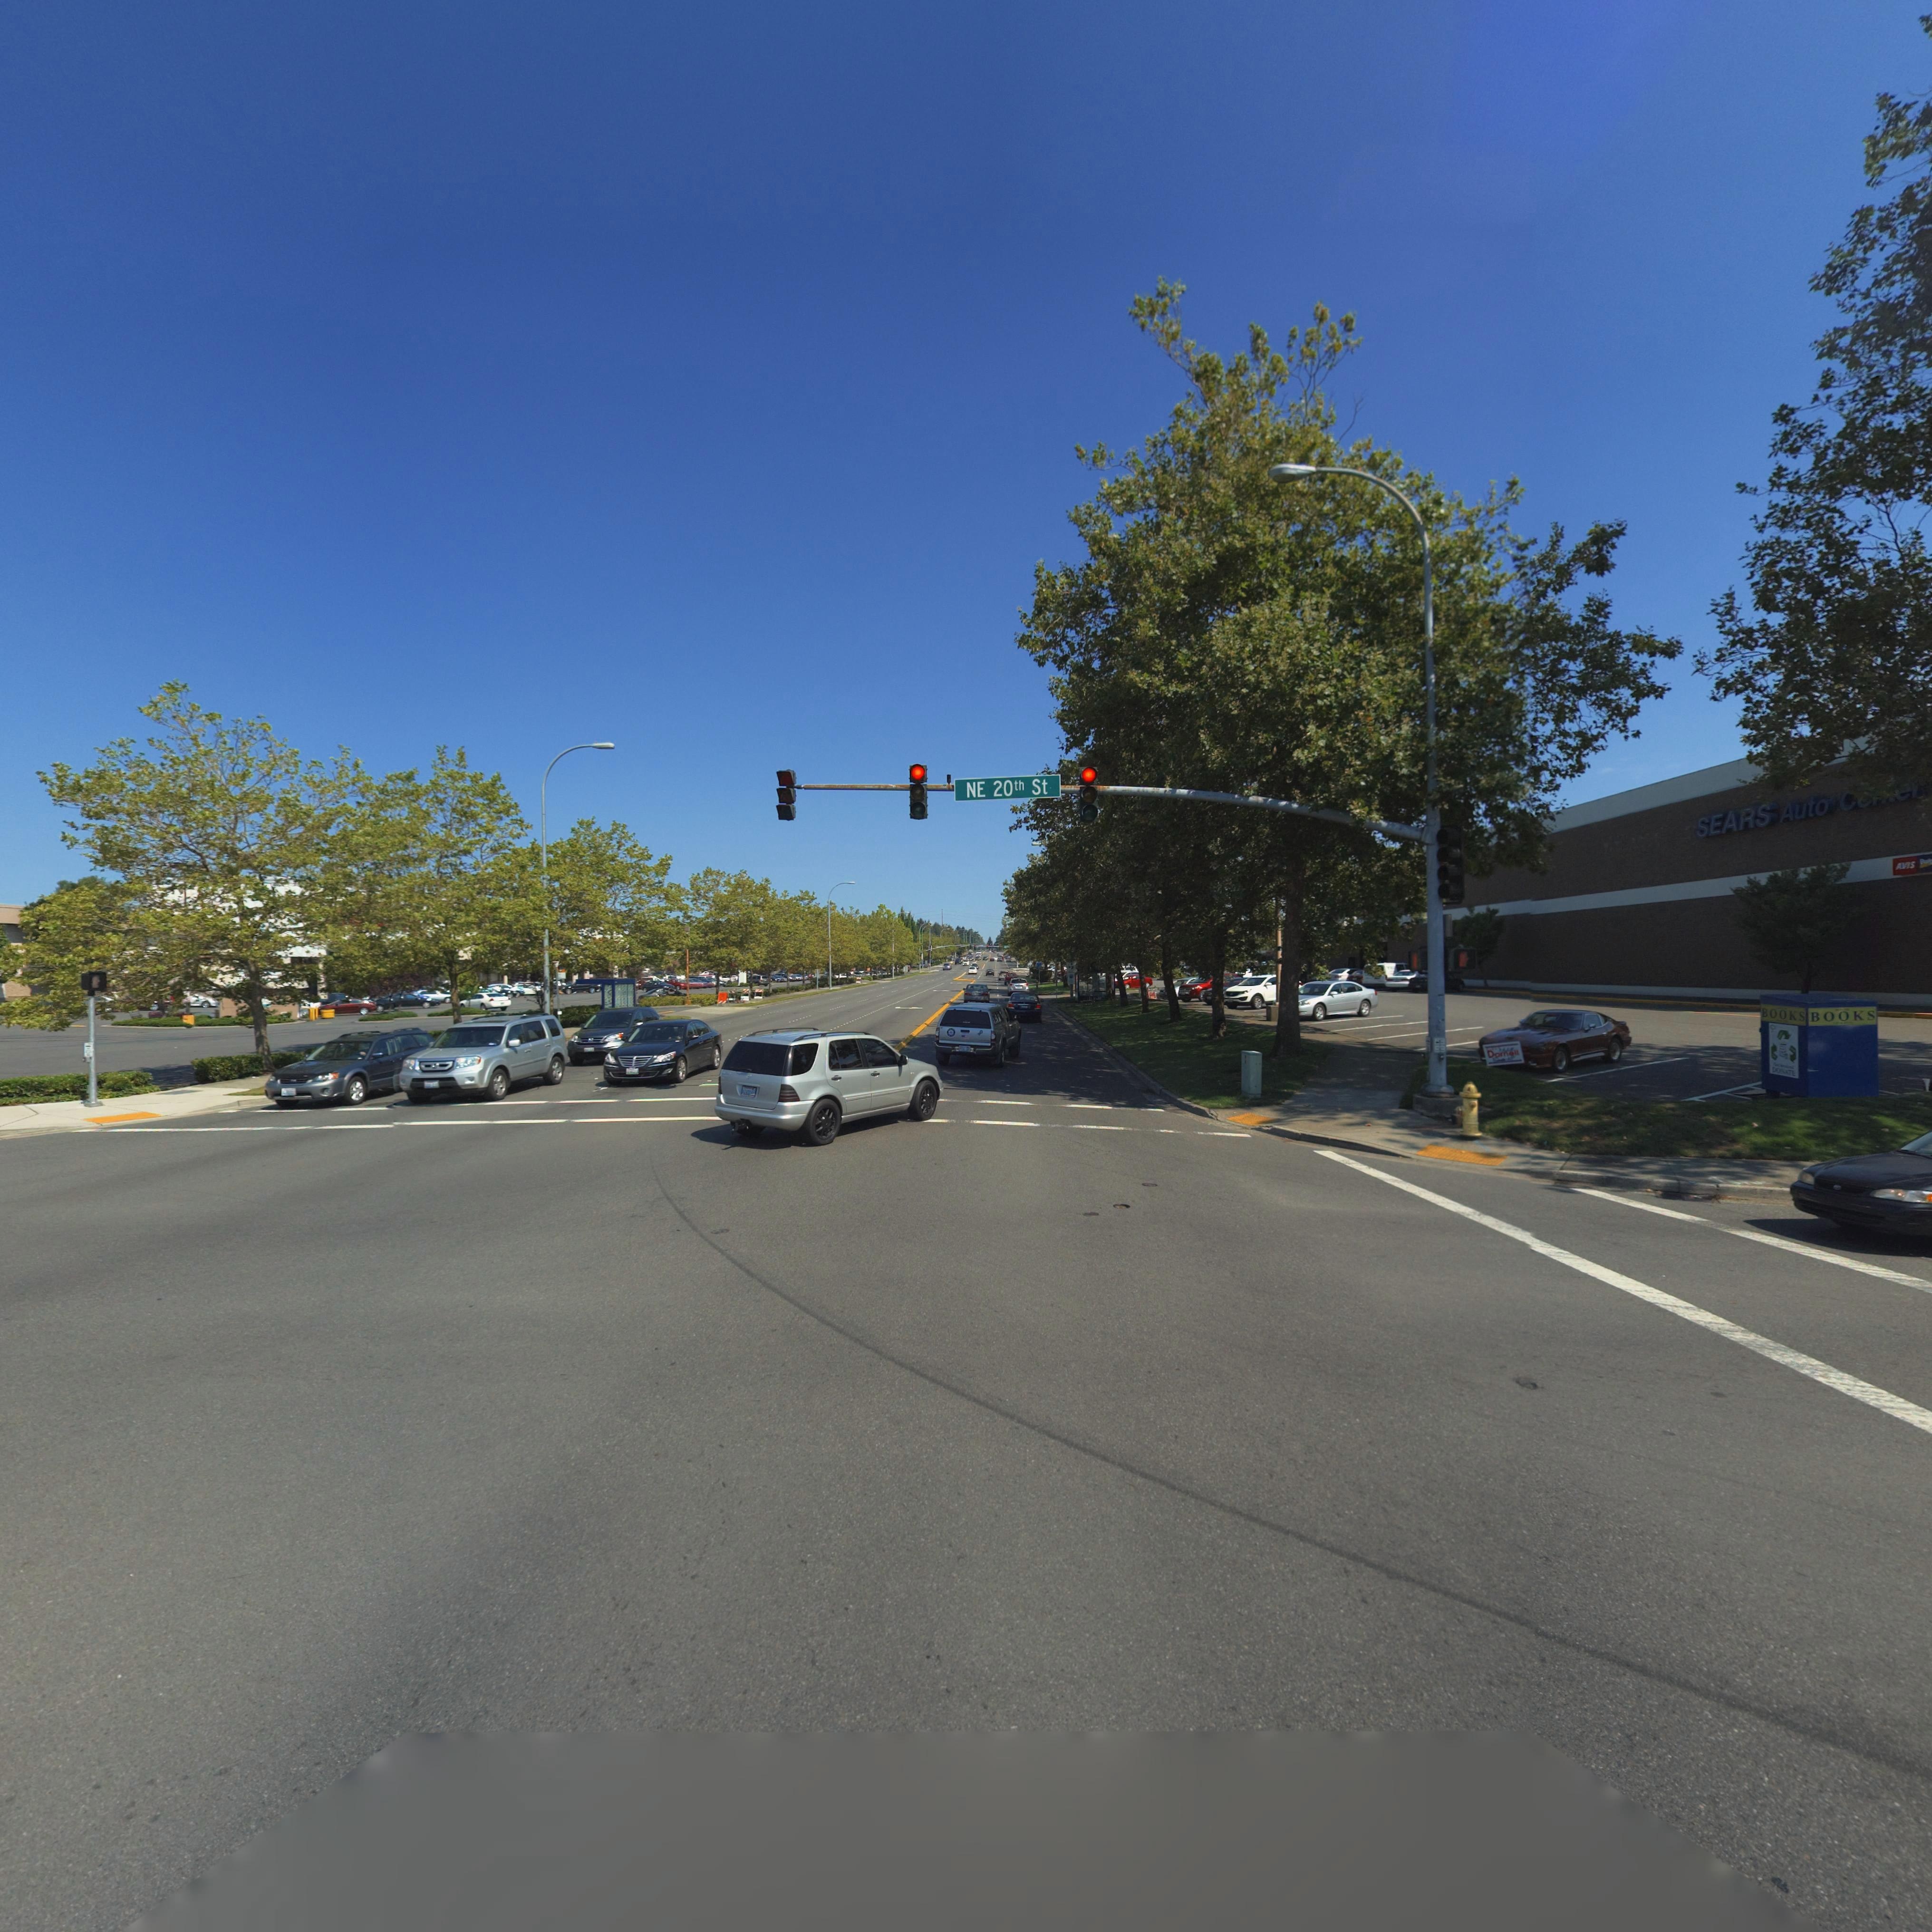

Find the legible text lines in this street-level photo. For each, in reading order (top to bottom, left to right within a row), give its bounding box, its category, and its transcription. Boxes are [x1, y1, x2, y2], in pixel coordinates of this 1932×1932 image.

[966, 778, 1048, 798] StreetName: NE 20th St
[1694, 801, 1772, 837] BusinessName: SEARS